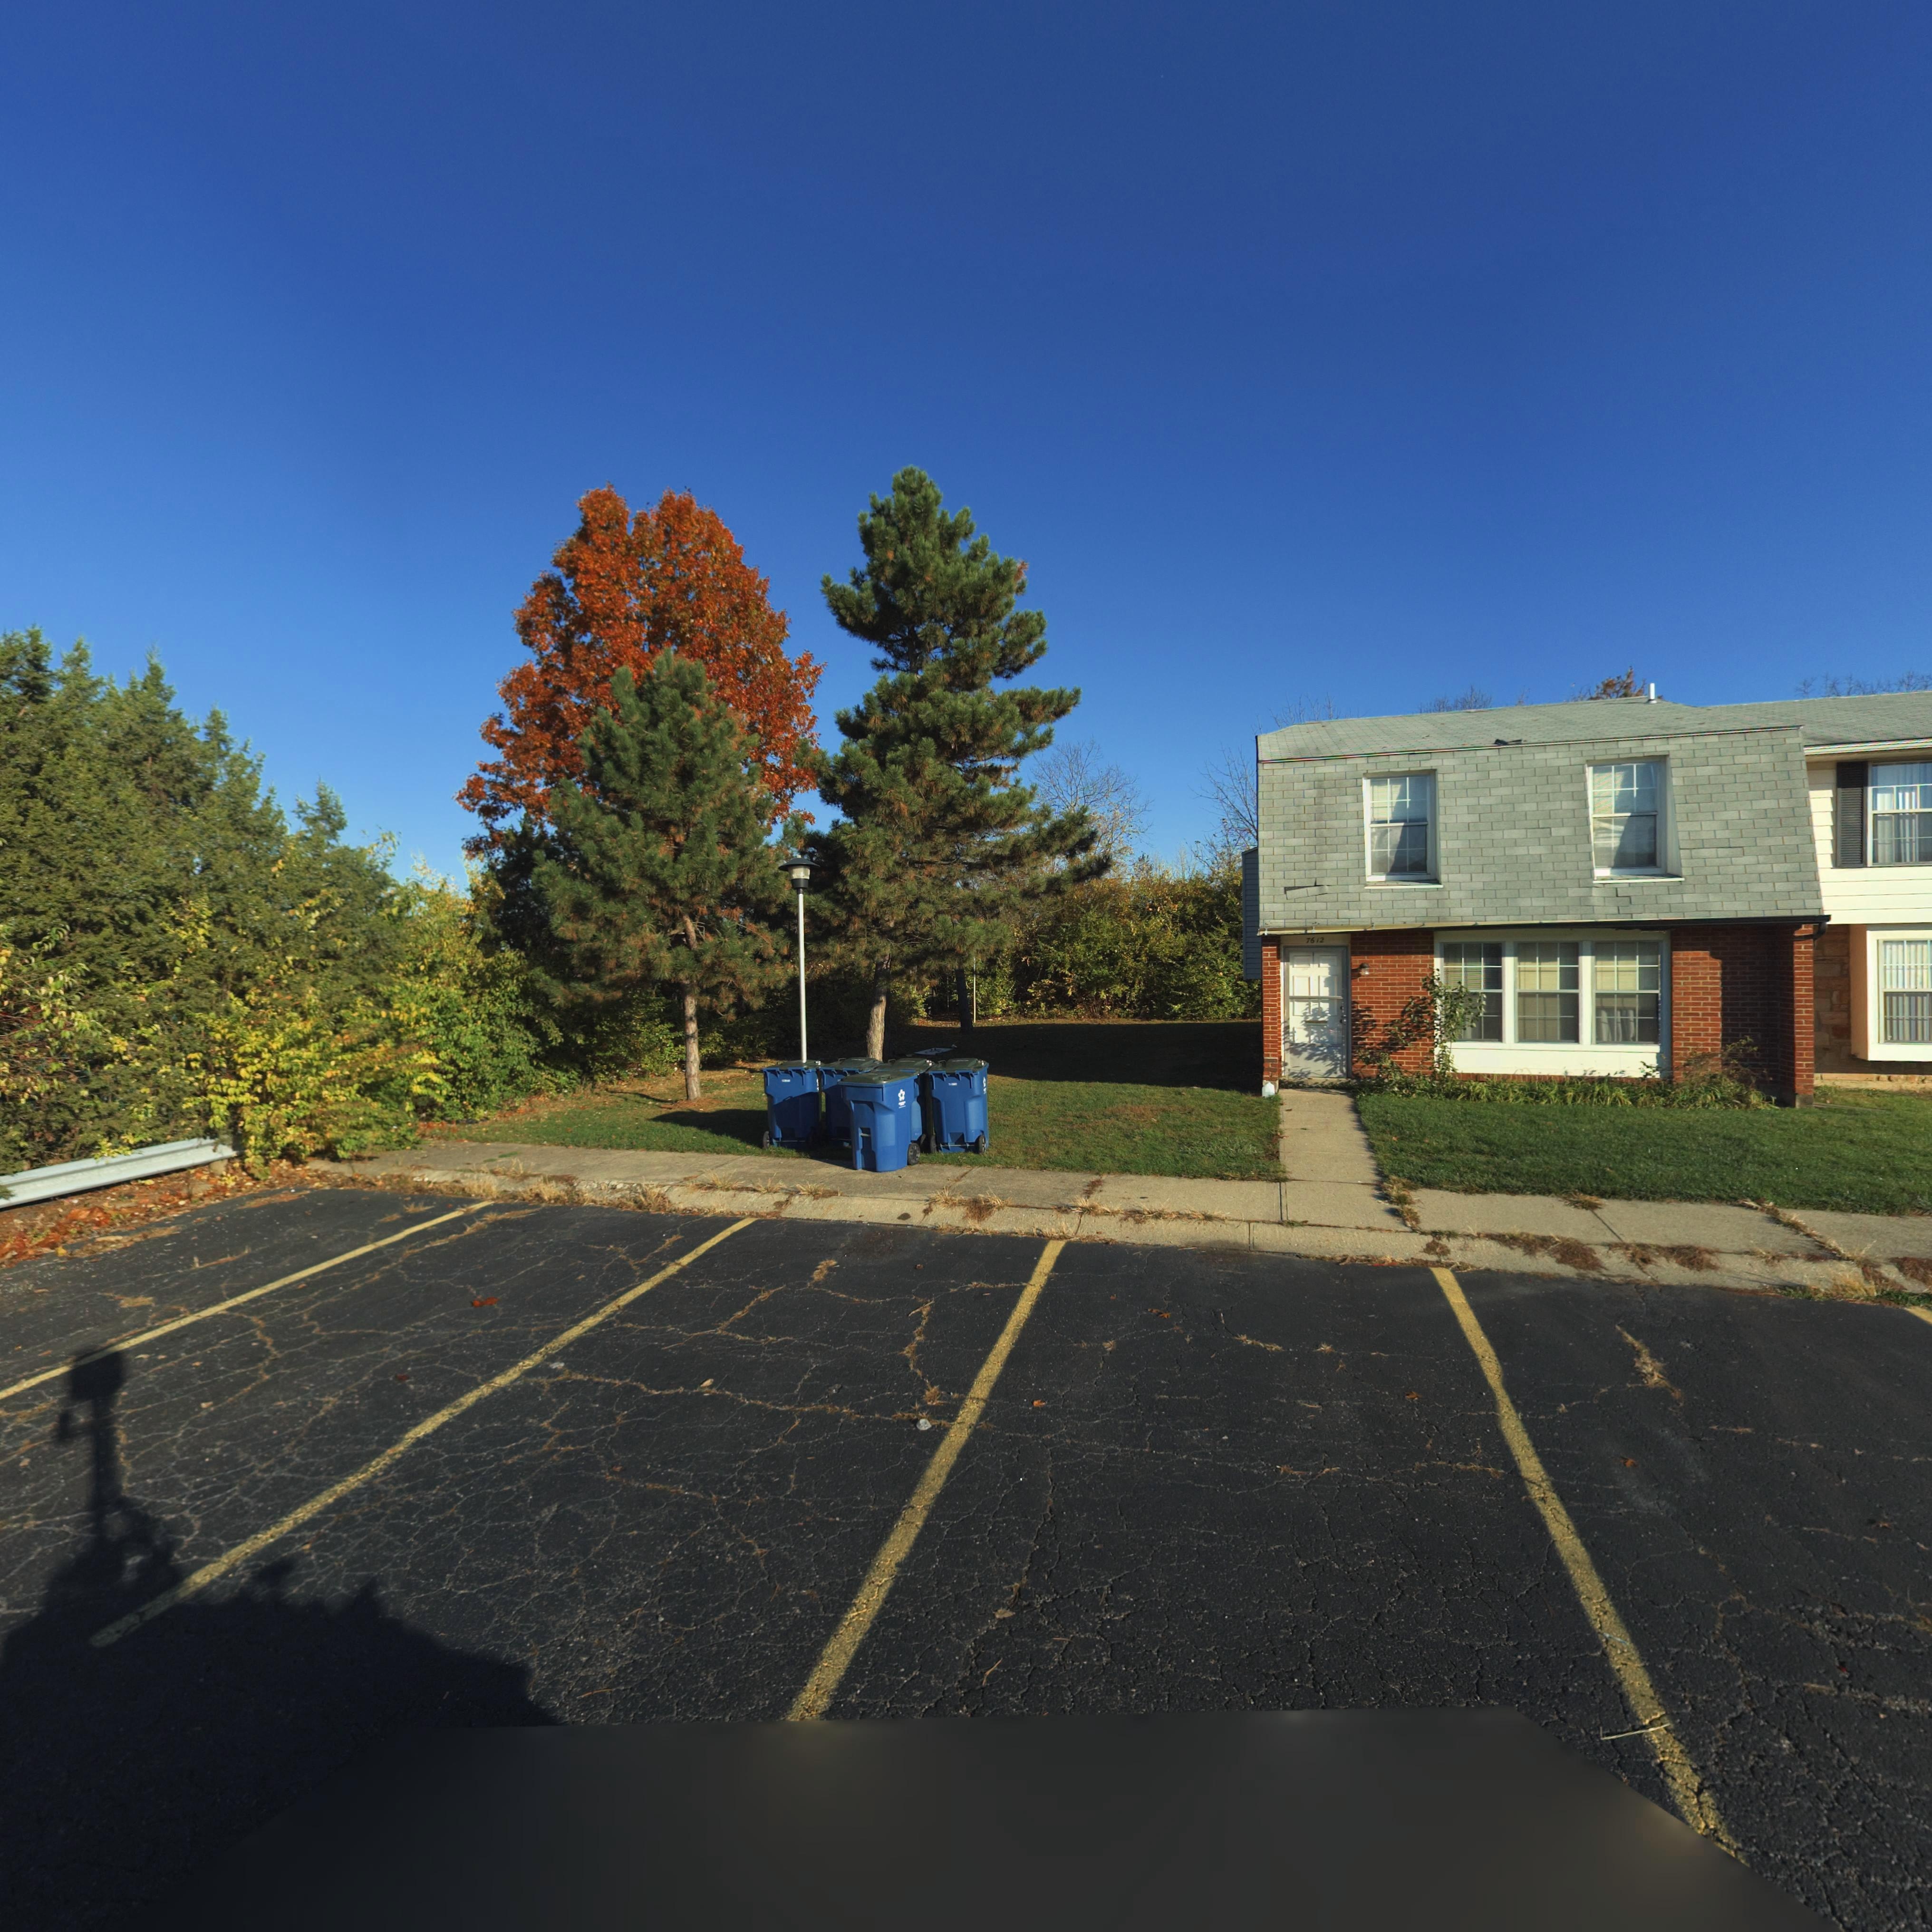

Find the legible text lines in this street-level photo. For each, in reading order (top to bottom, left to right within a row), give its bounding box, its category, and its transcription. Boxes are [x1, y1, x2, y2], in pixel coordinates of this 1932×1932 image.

[1305, 936, 1326, 945] StreetNumber: 7612